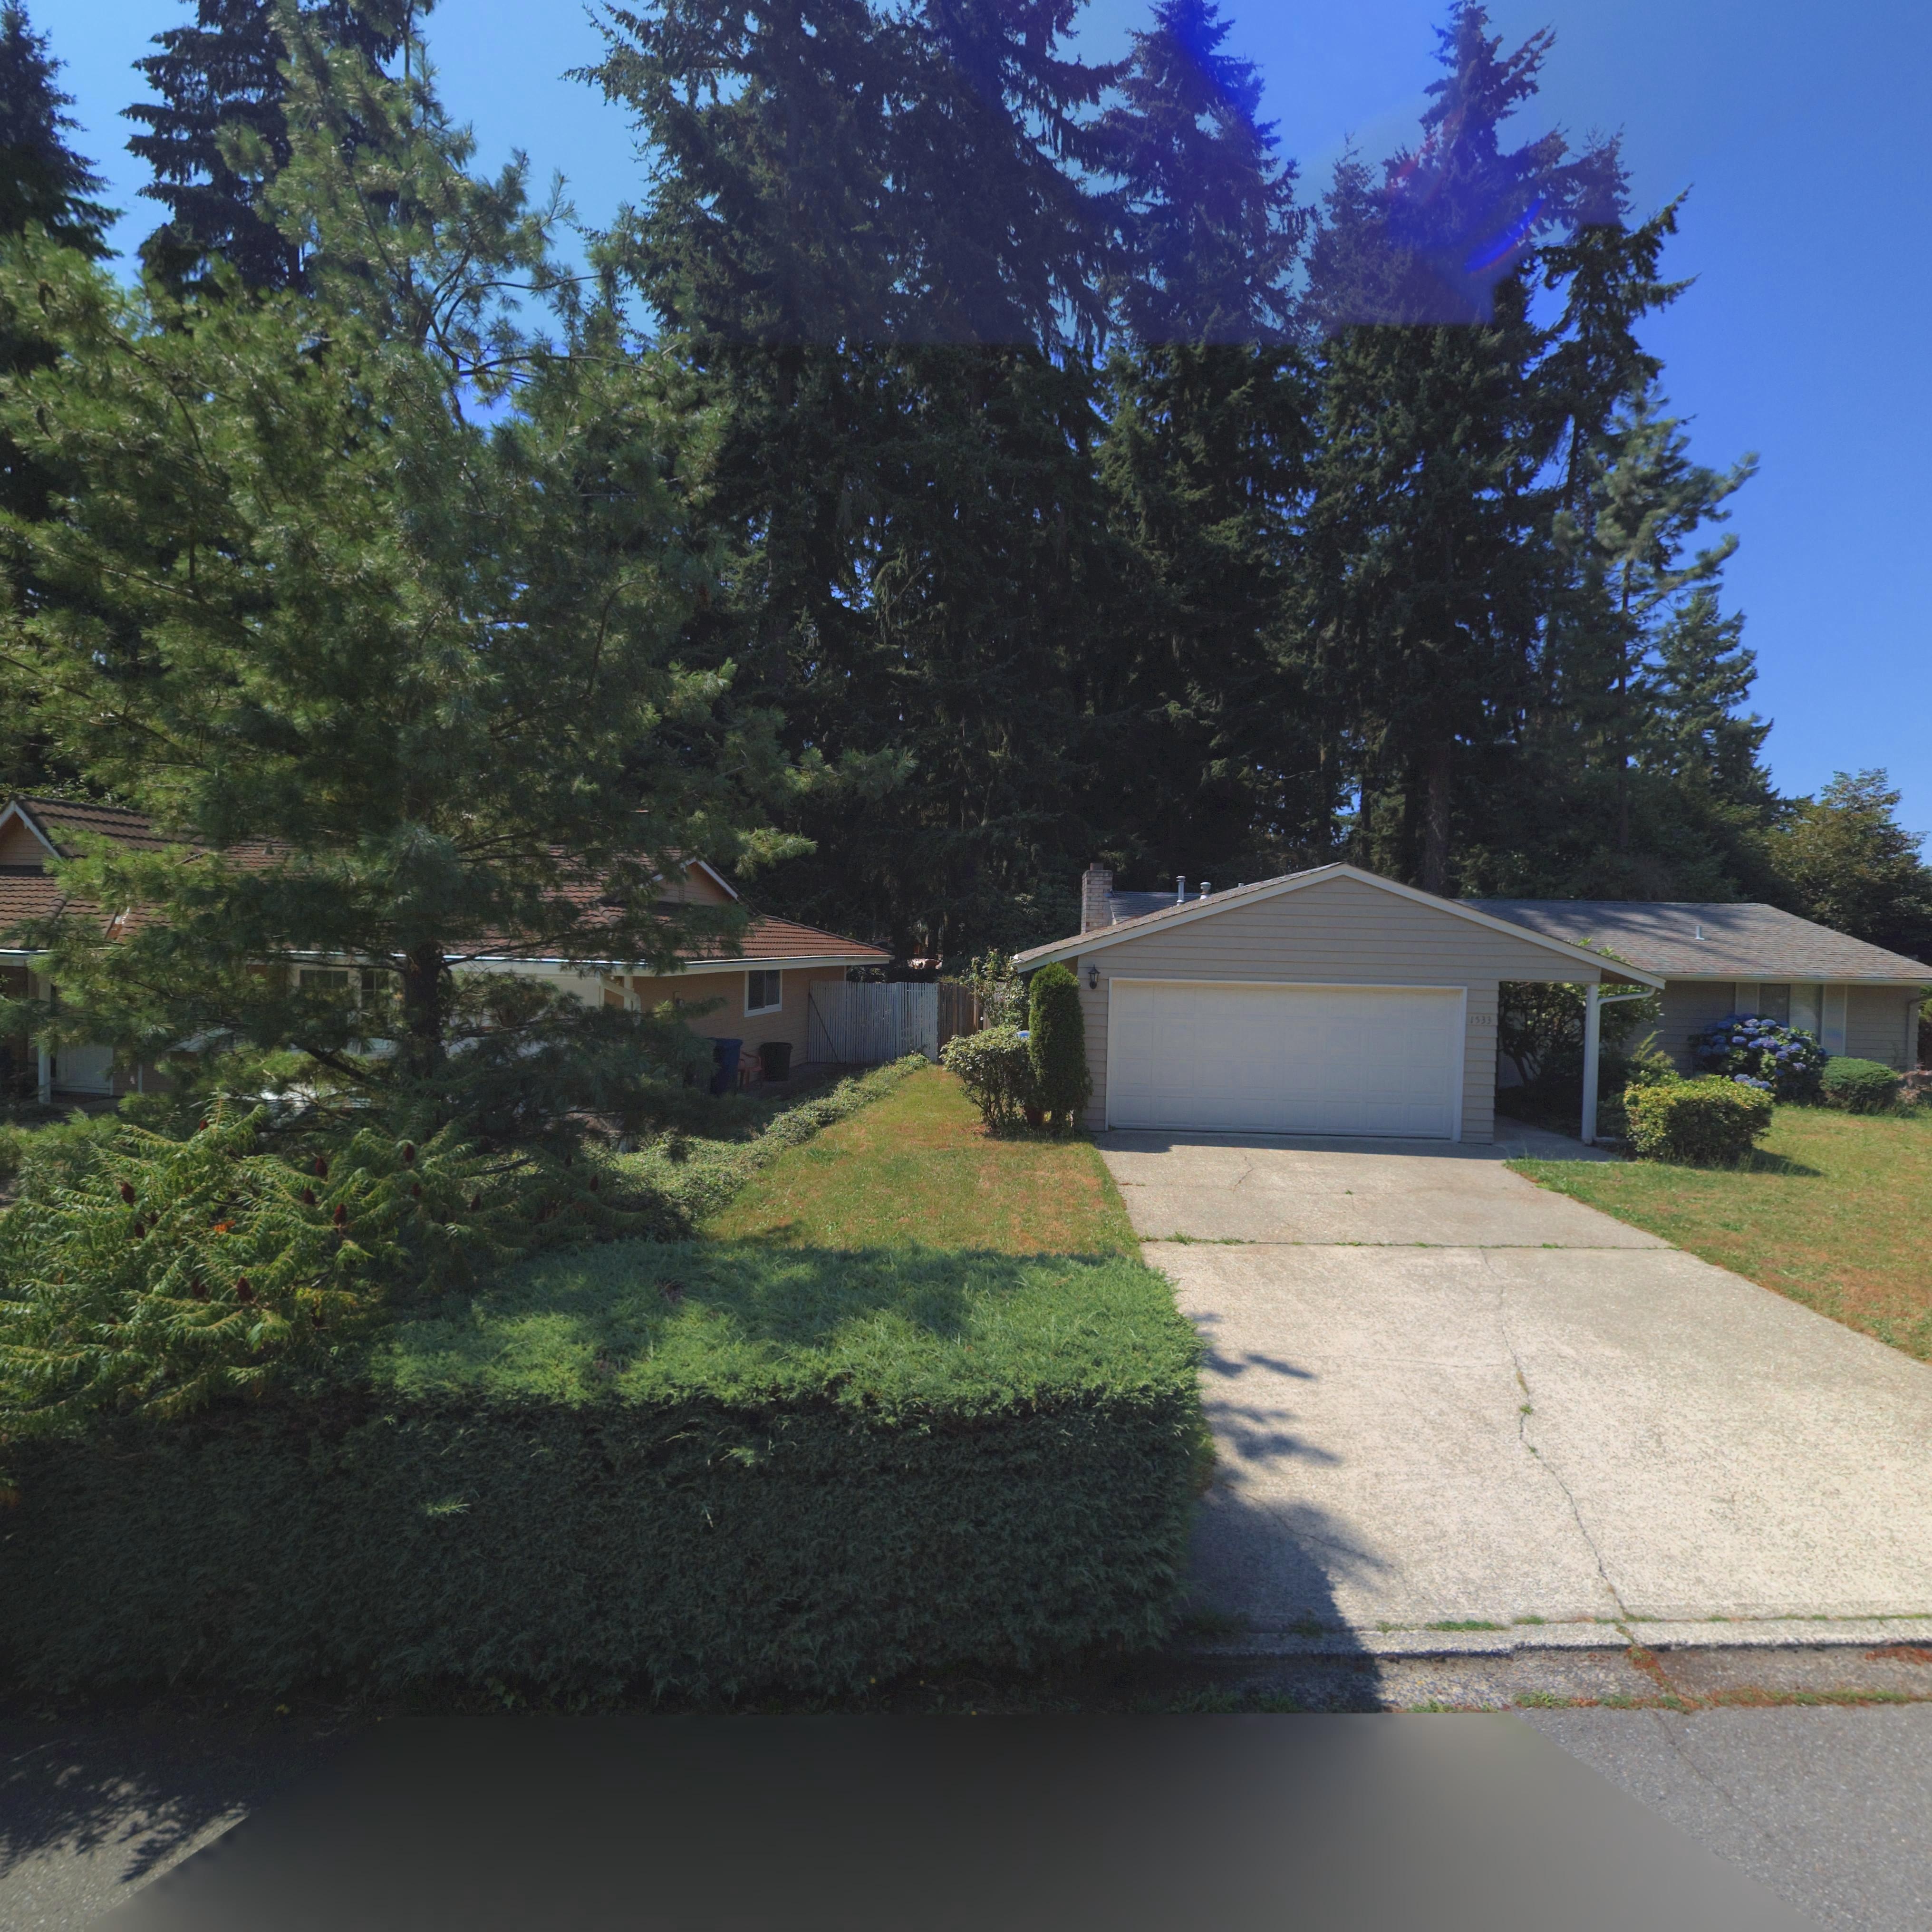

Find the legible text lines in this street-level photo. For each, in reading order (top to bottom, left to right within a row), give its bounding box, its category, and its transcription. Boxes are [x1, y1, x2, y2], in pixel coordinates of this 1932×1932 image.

[1469, 1014, 1491, 1025] StreetNumber: 1533